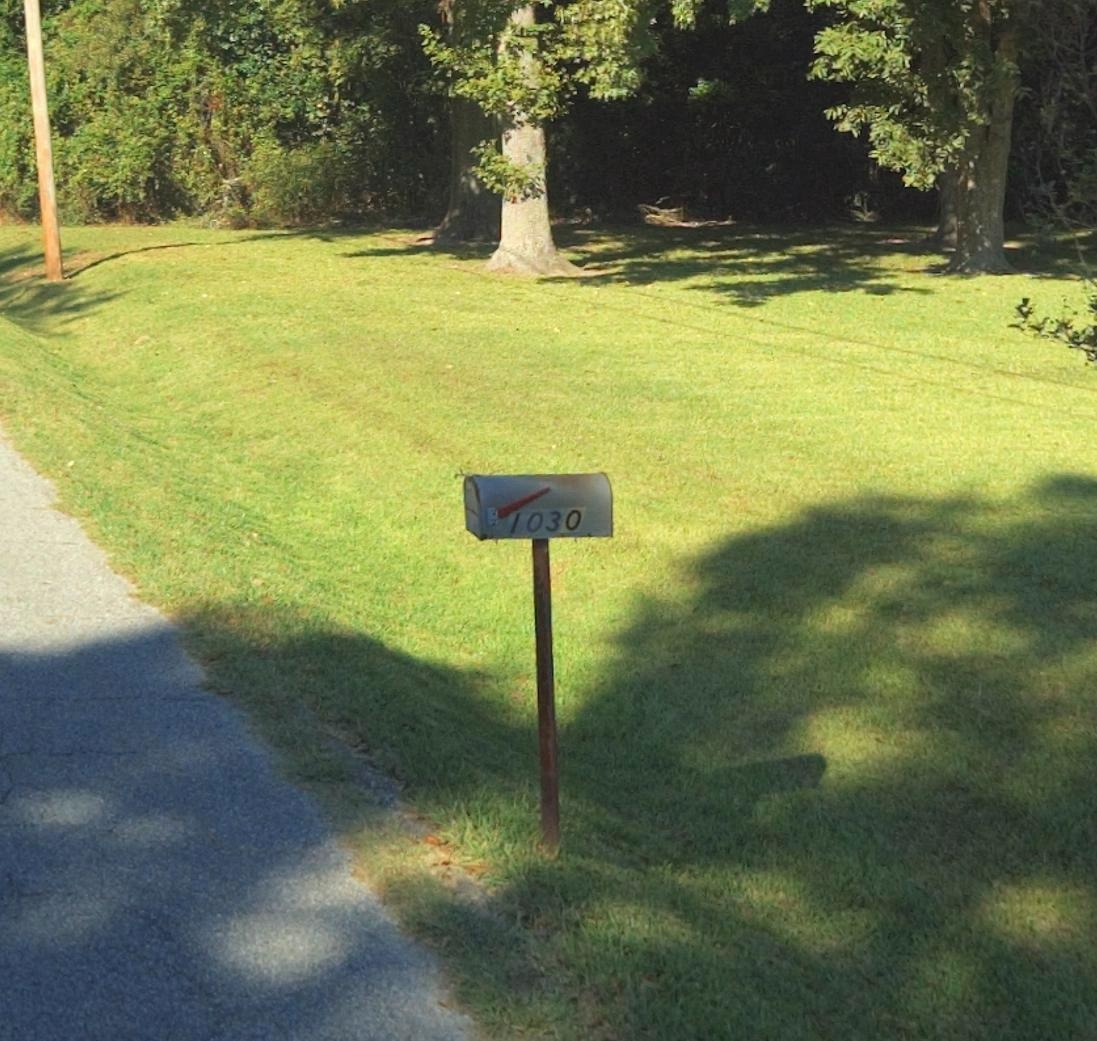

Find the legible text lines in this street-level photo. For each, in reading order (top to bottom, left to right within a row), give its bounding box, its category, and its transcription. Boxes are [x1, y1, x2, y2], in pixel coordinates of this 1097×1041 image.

[503, 507, 590, 536] StreetNumber: 1030